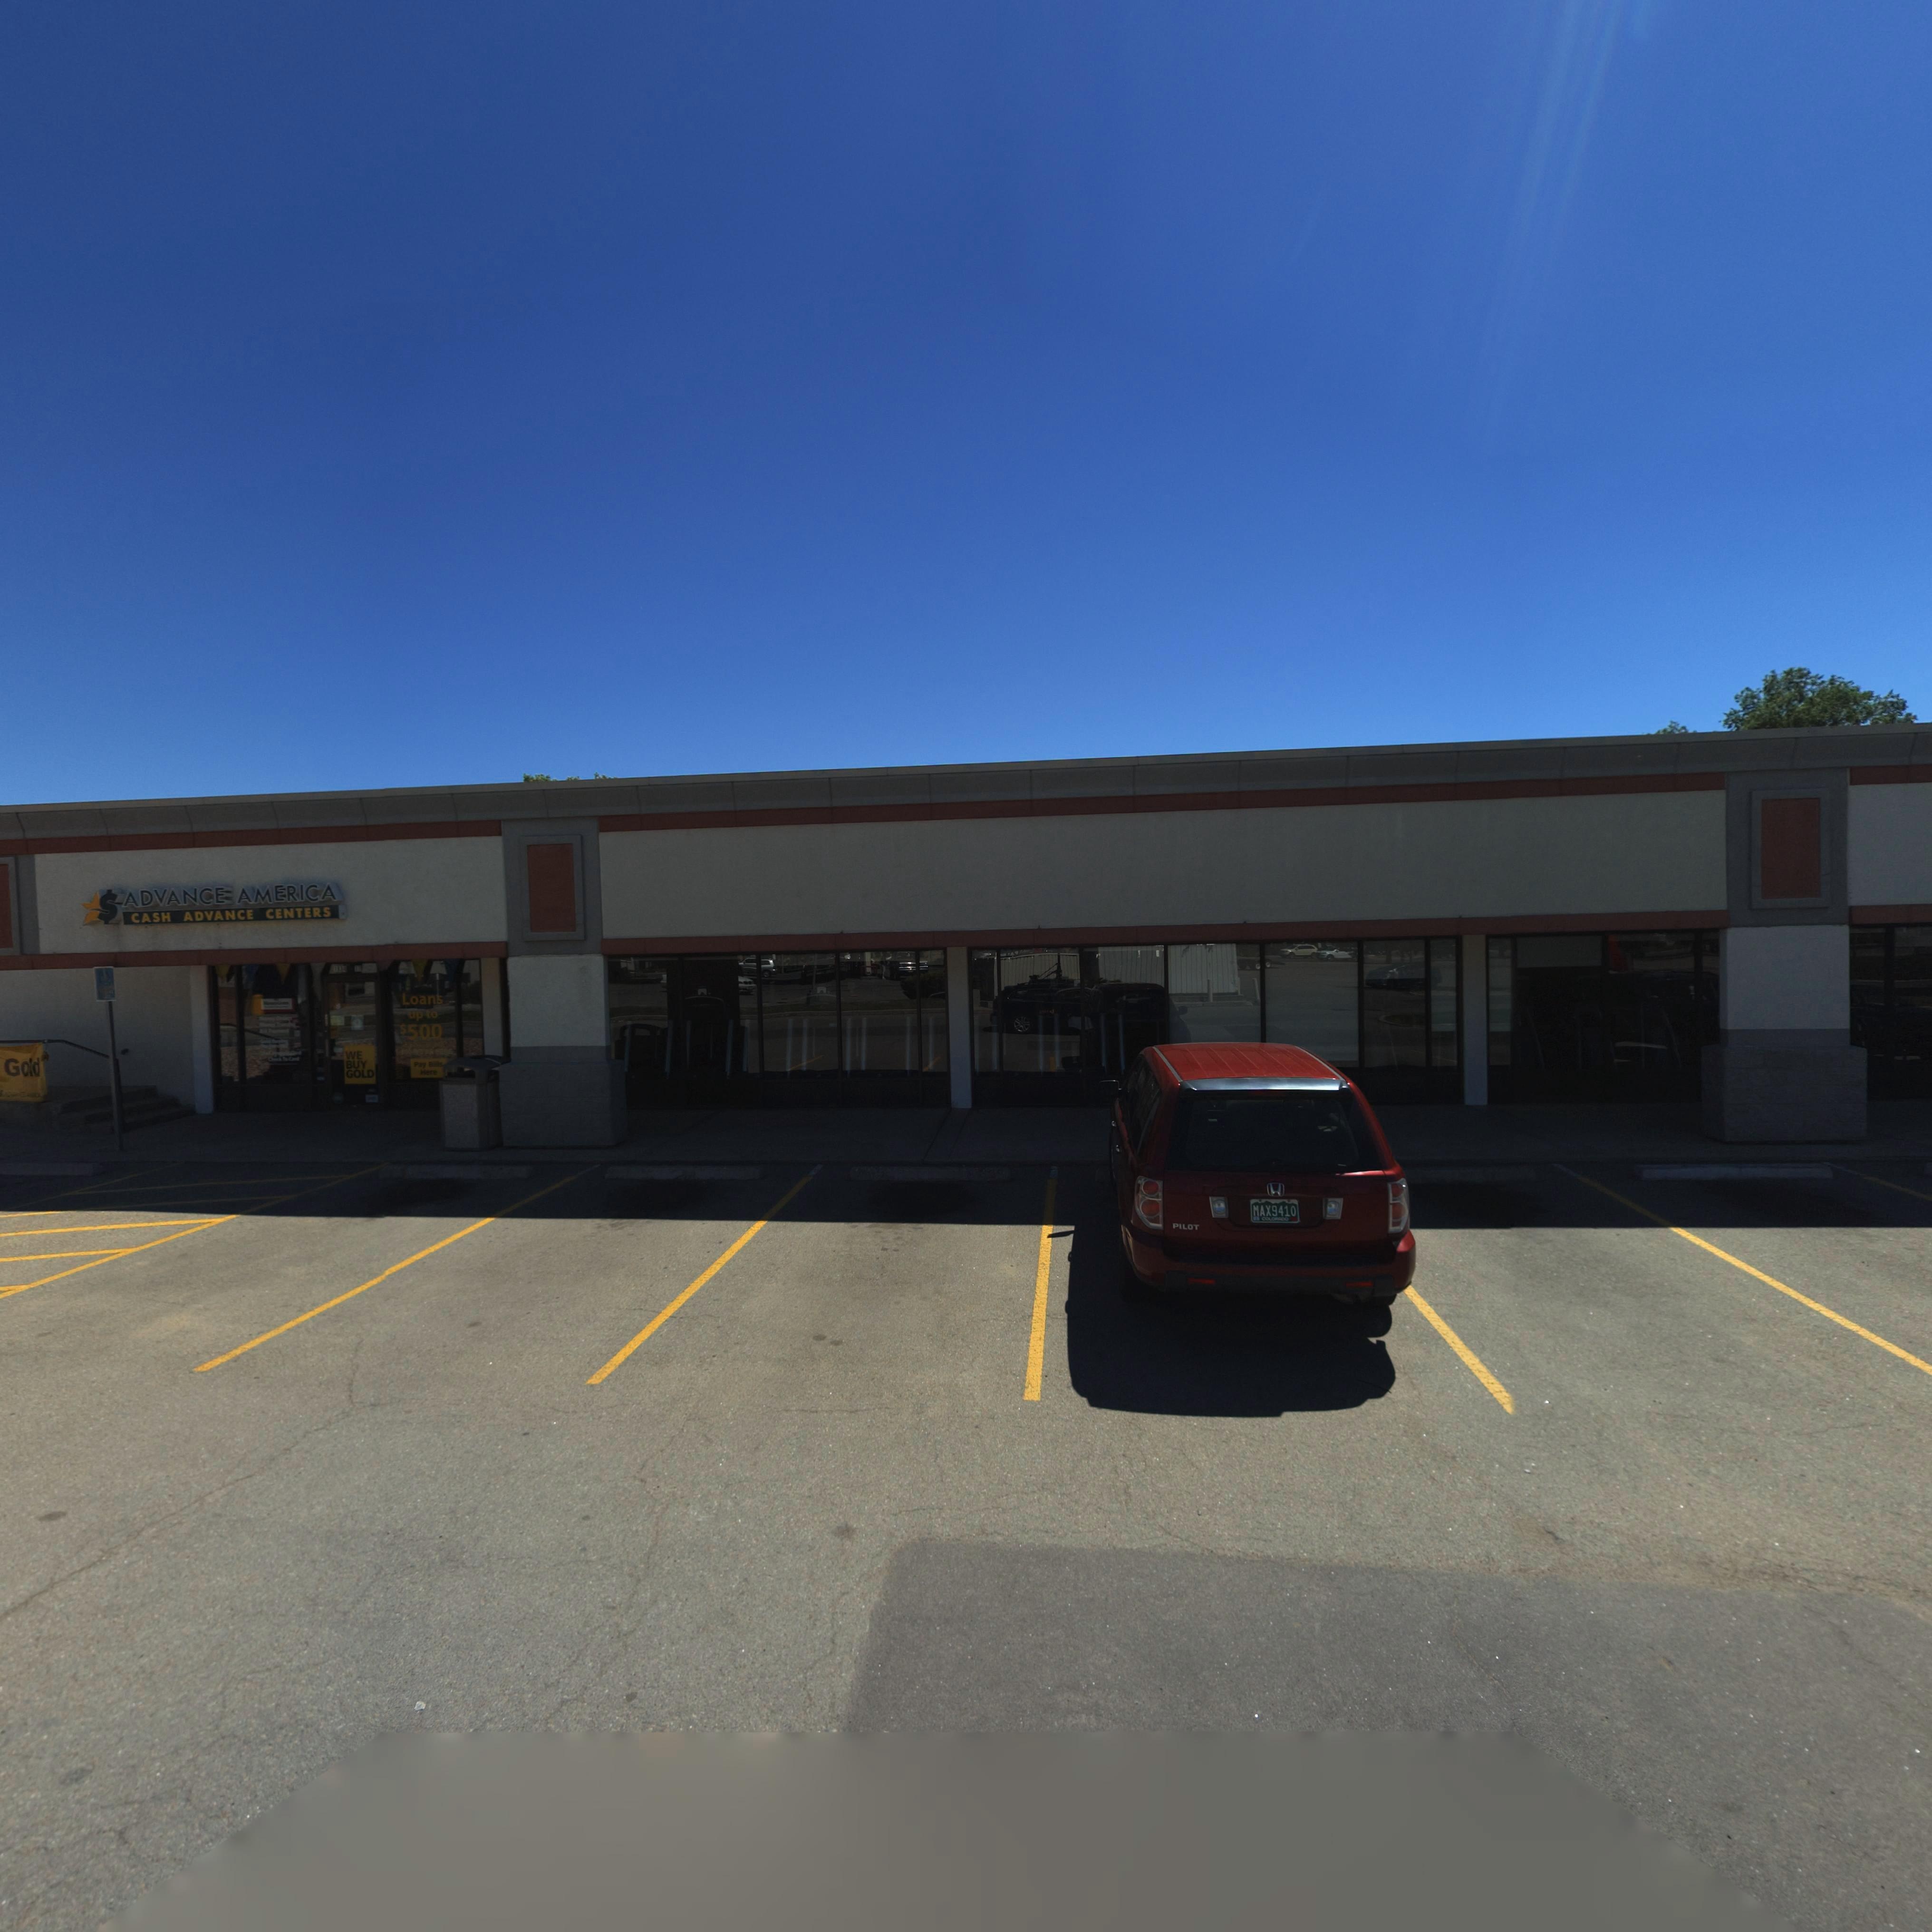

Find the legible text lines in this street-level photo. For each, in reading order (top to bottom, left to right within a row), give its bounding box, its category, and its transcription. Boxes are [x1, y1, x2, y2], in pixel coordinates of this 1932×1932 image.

[121, 884, 339, 909] BusinessName: ADVANCE AMERICA
[130, 907, 330, 923] BusinessName: CASH ADVANCE CENTER